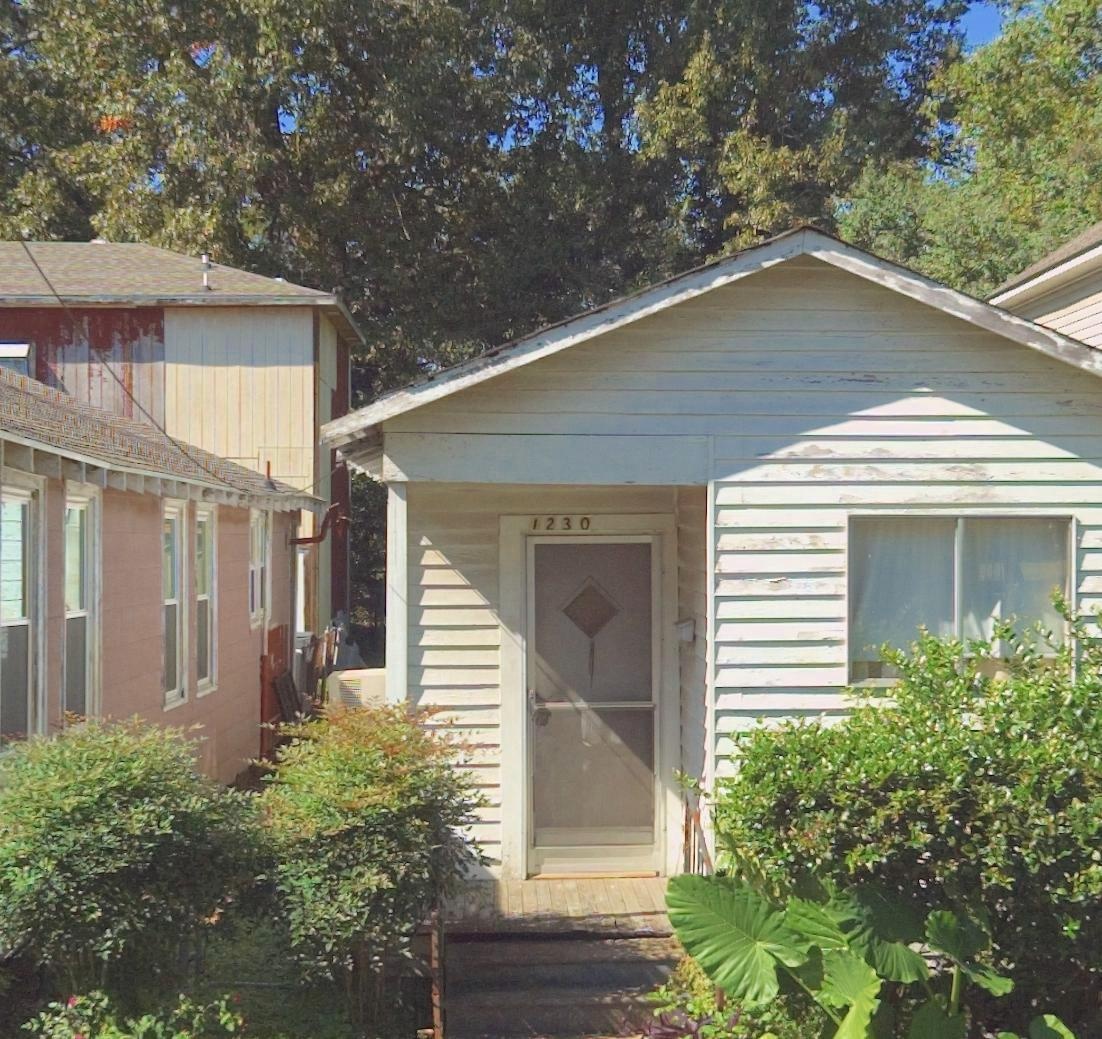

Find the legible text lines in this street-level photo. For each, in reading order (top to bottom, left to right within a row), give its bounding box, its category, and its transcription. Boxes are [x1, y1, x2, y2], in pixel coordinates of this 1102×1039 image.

[530, 515, 592, 532] StreetNumber: 1230